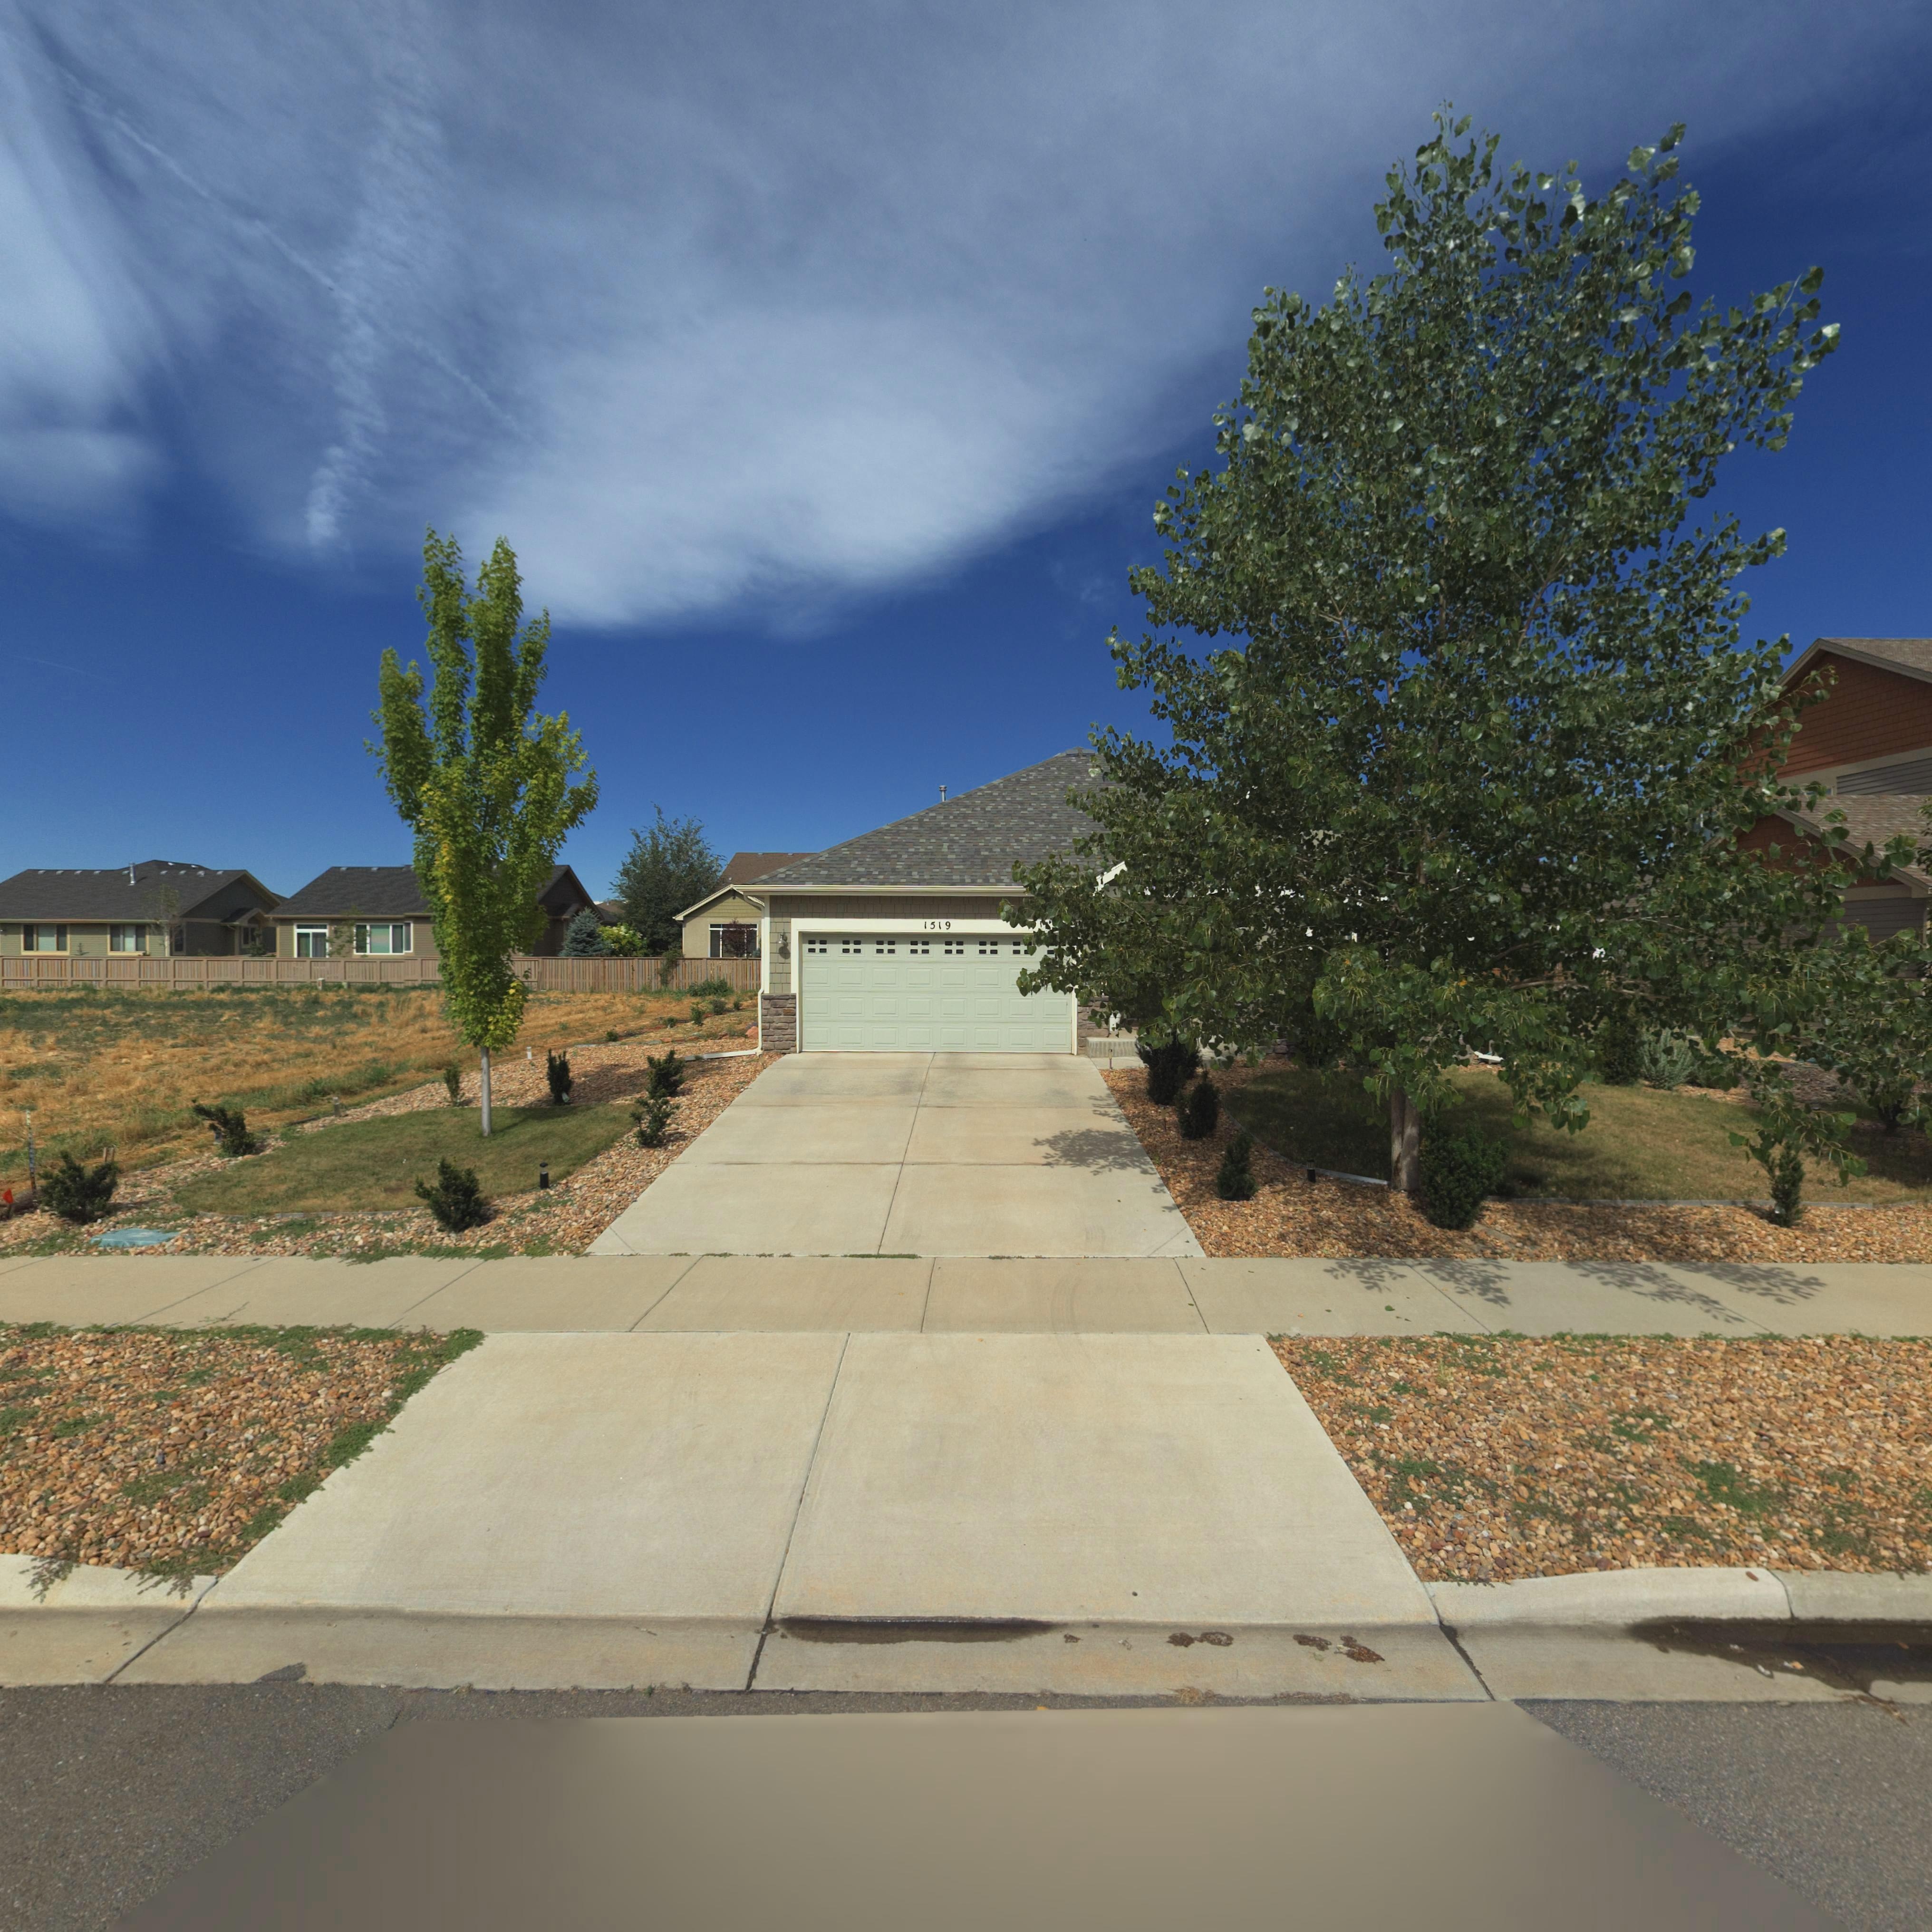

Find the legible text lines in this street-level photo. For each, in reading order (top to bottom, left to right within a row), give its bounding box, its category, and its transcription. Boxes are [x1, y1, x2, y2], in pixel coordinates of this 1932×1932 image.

[924, 921, 951, 930] StreetNumber: 1519